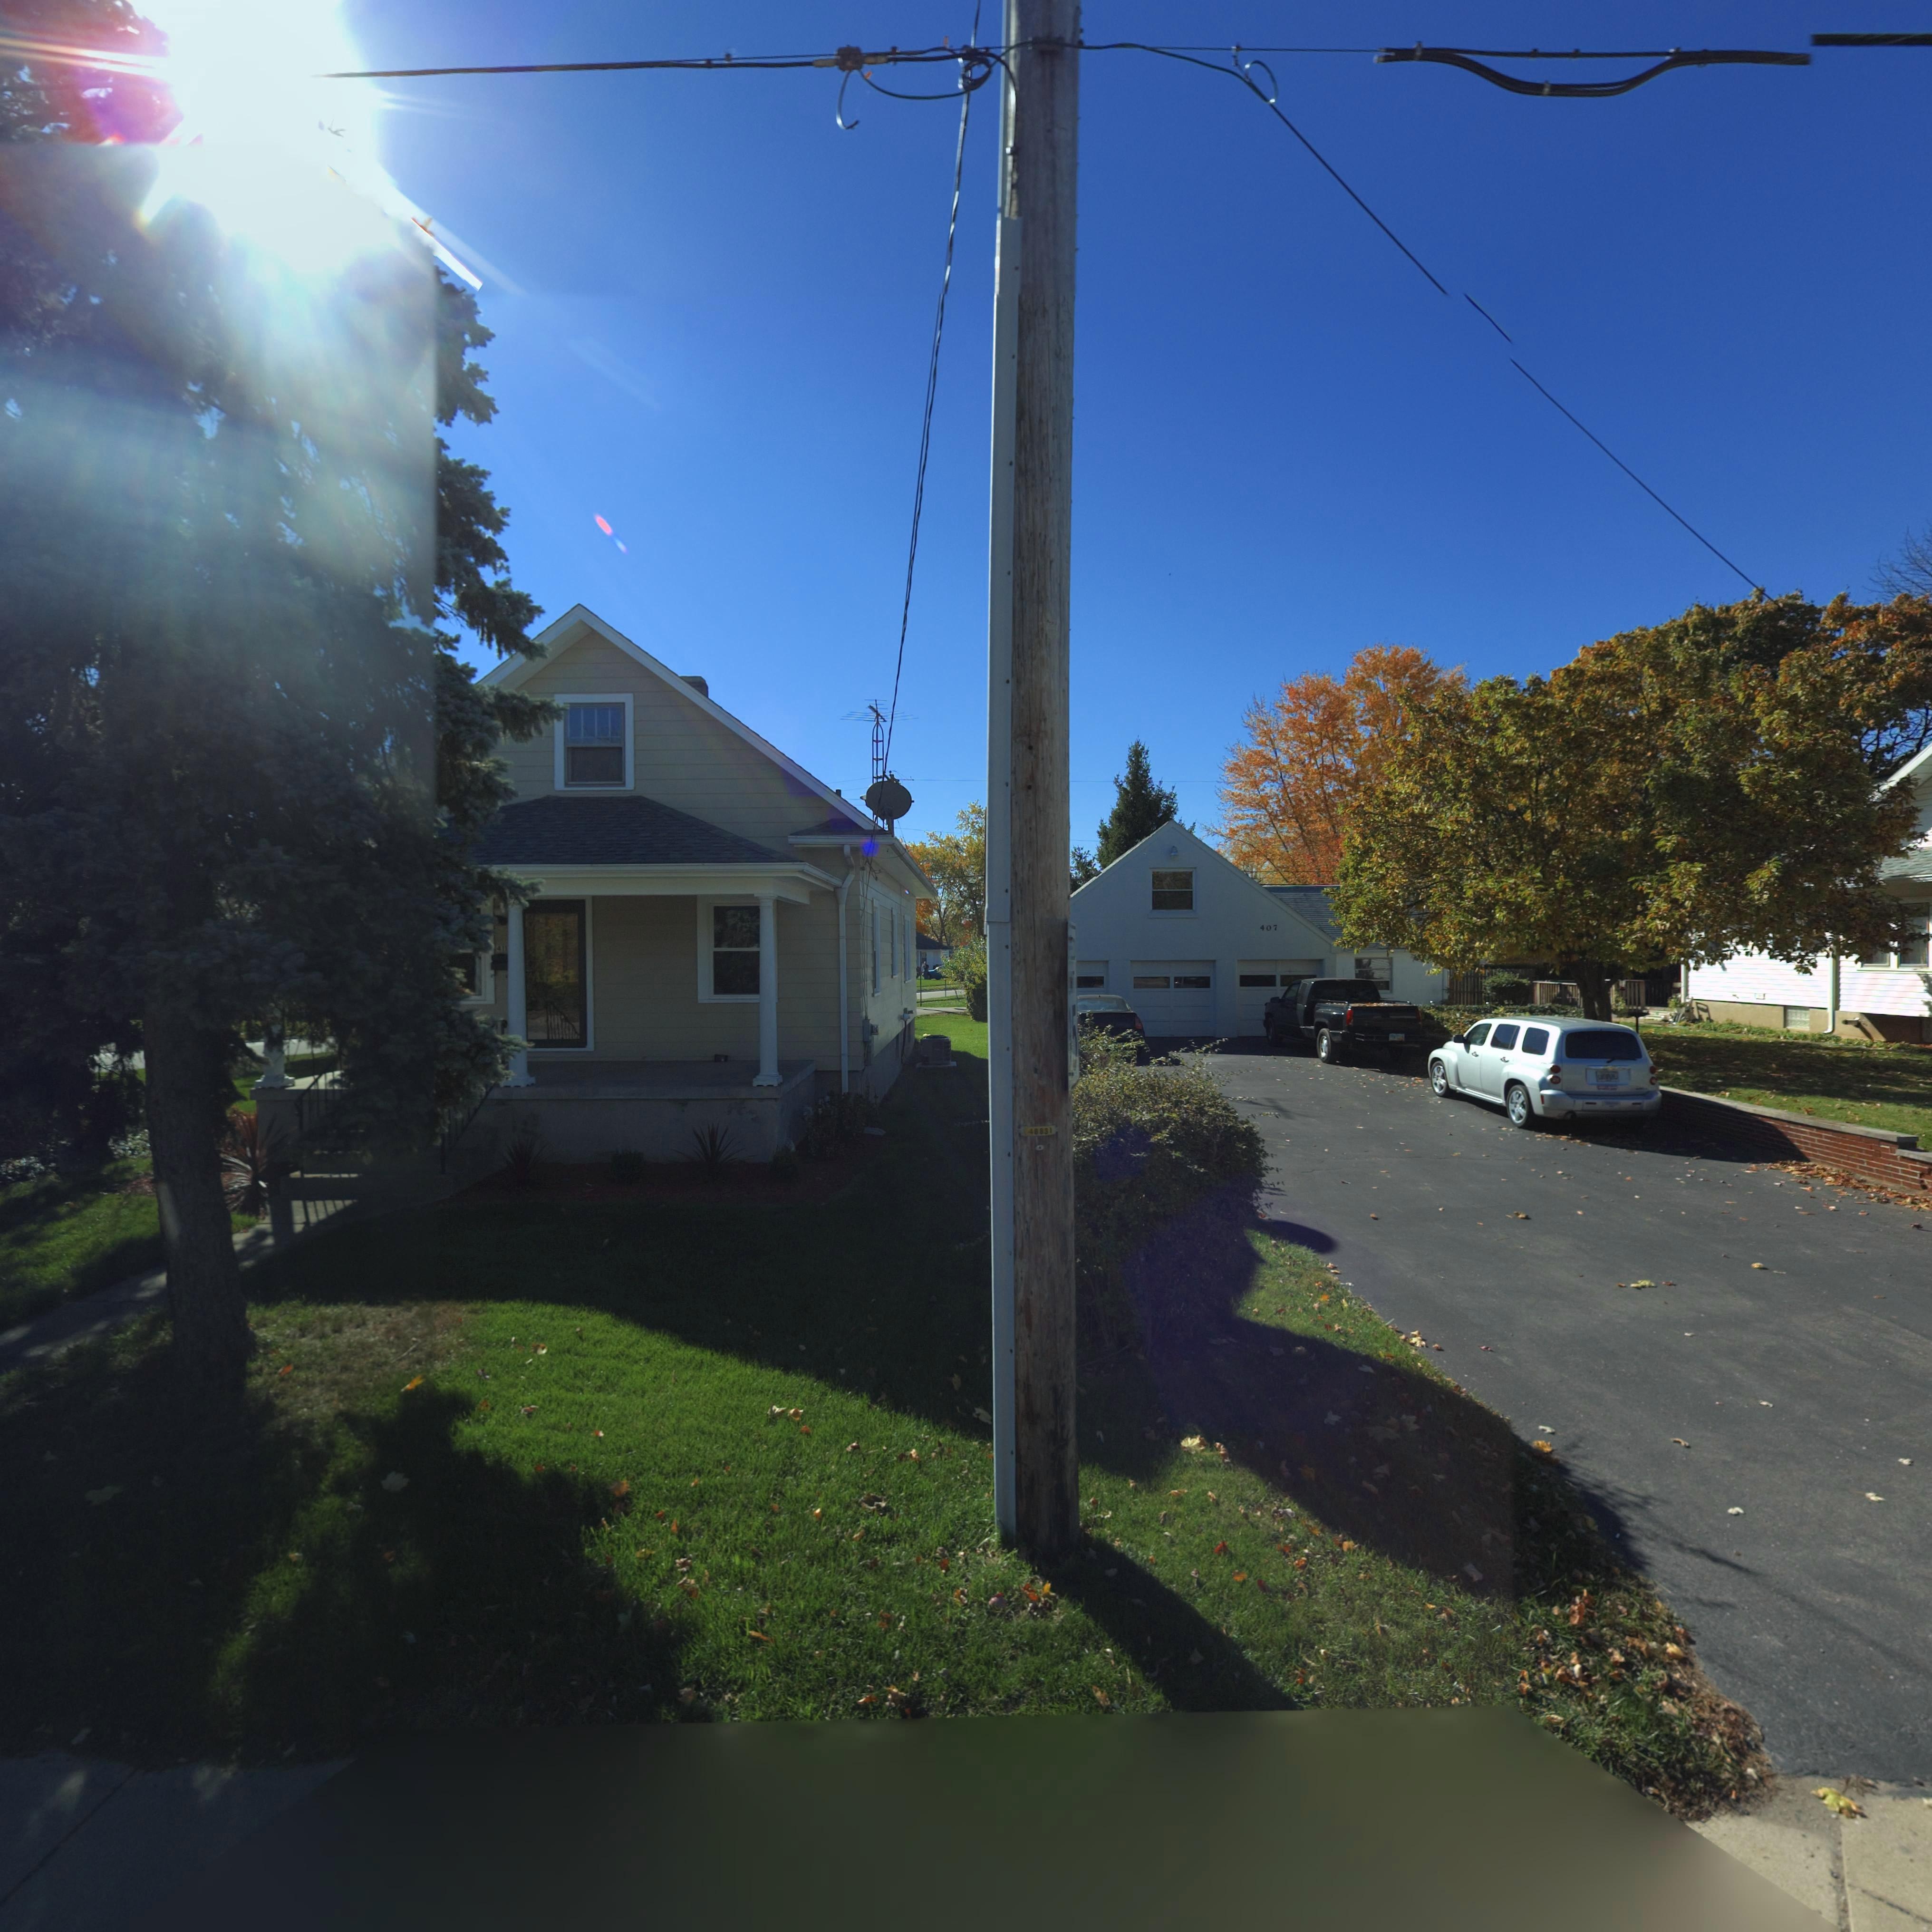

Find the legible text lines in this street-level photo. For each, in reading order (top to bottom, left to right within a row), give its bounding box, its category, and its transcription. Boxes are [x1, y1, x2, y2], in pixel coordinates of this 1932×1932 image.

[1259, 924, 1279, 932] StreetNumber: 407
[496, 945, 509, 952] StreetNumber: 411